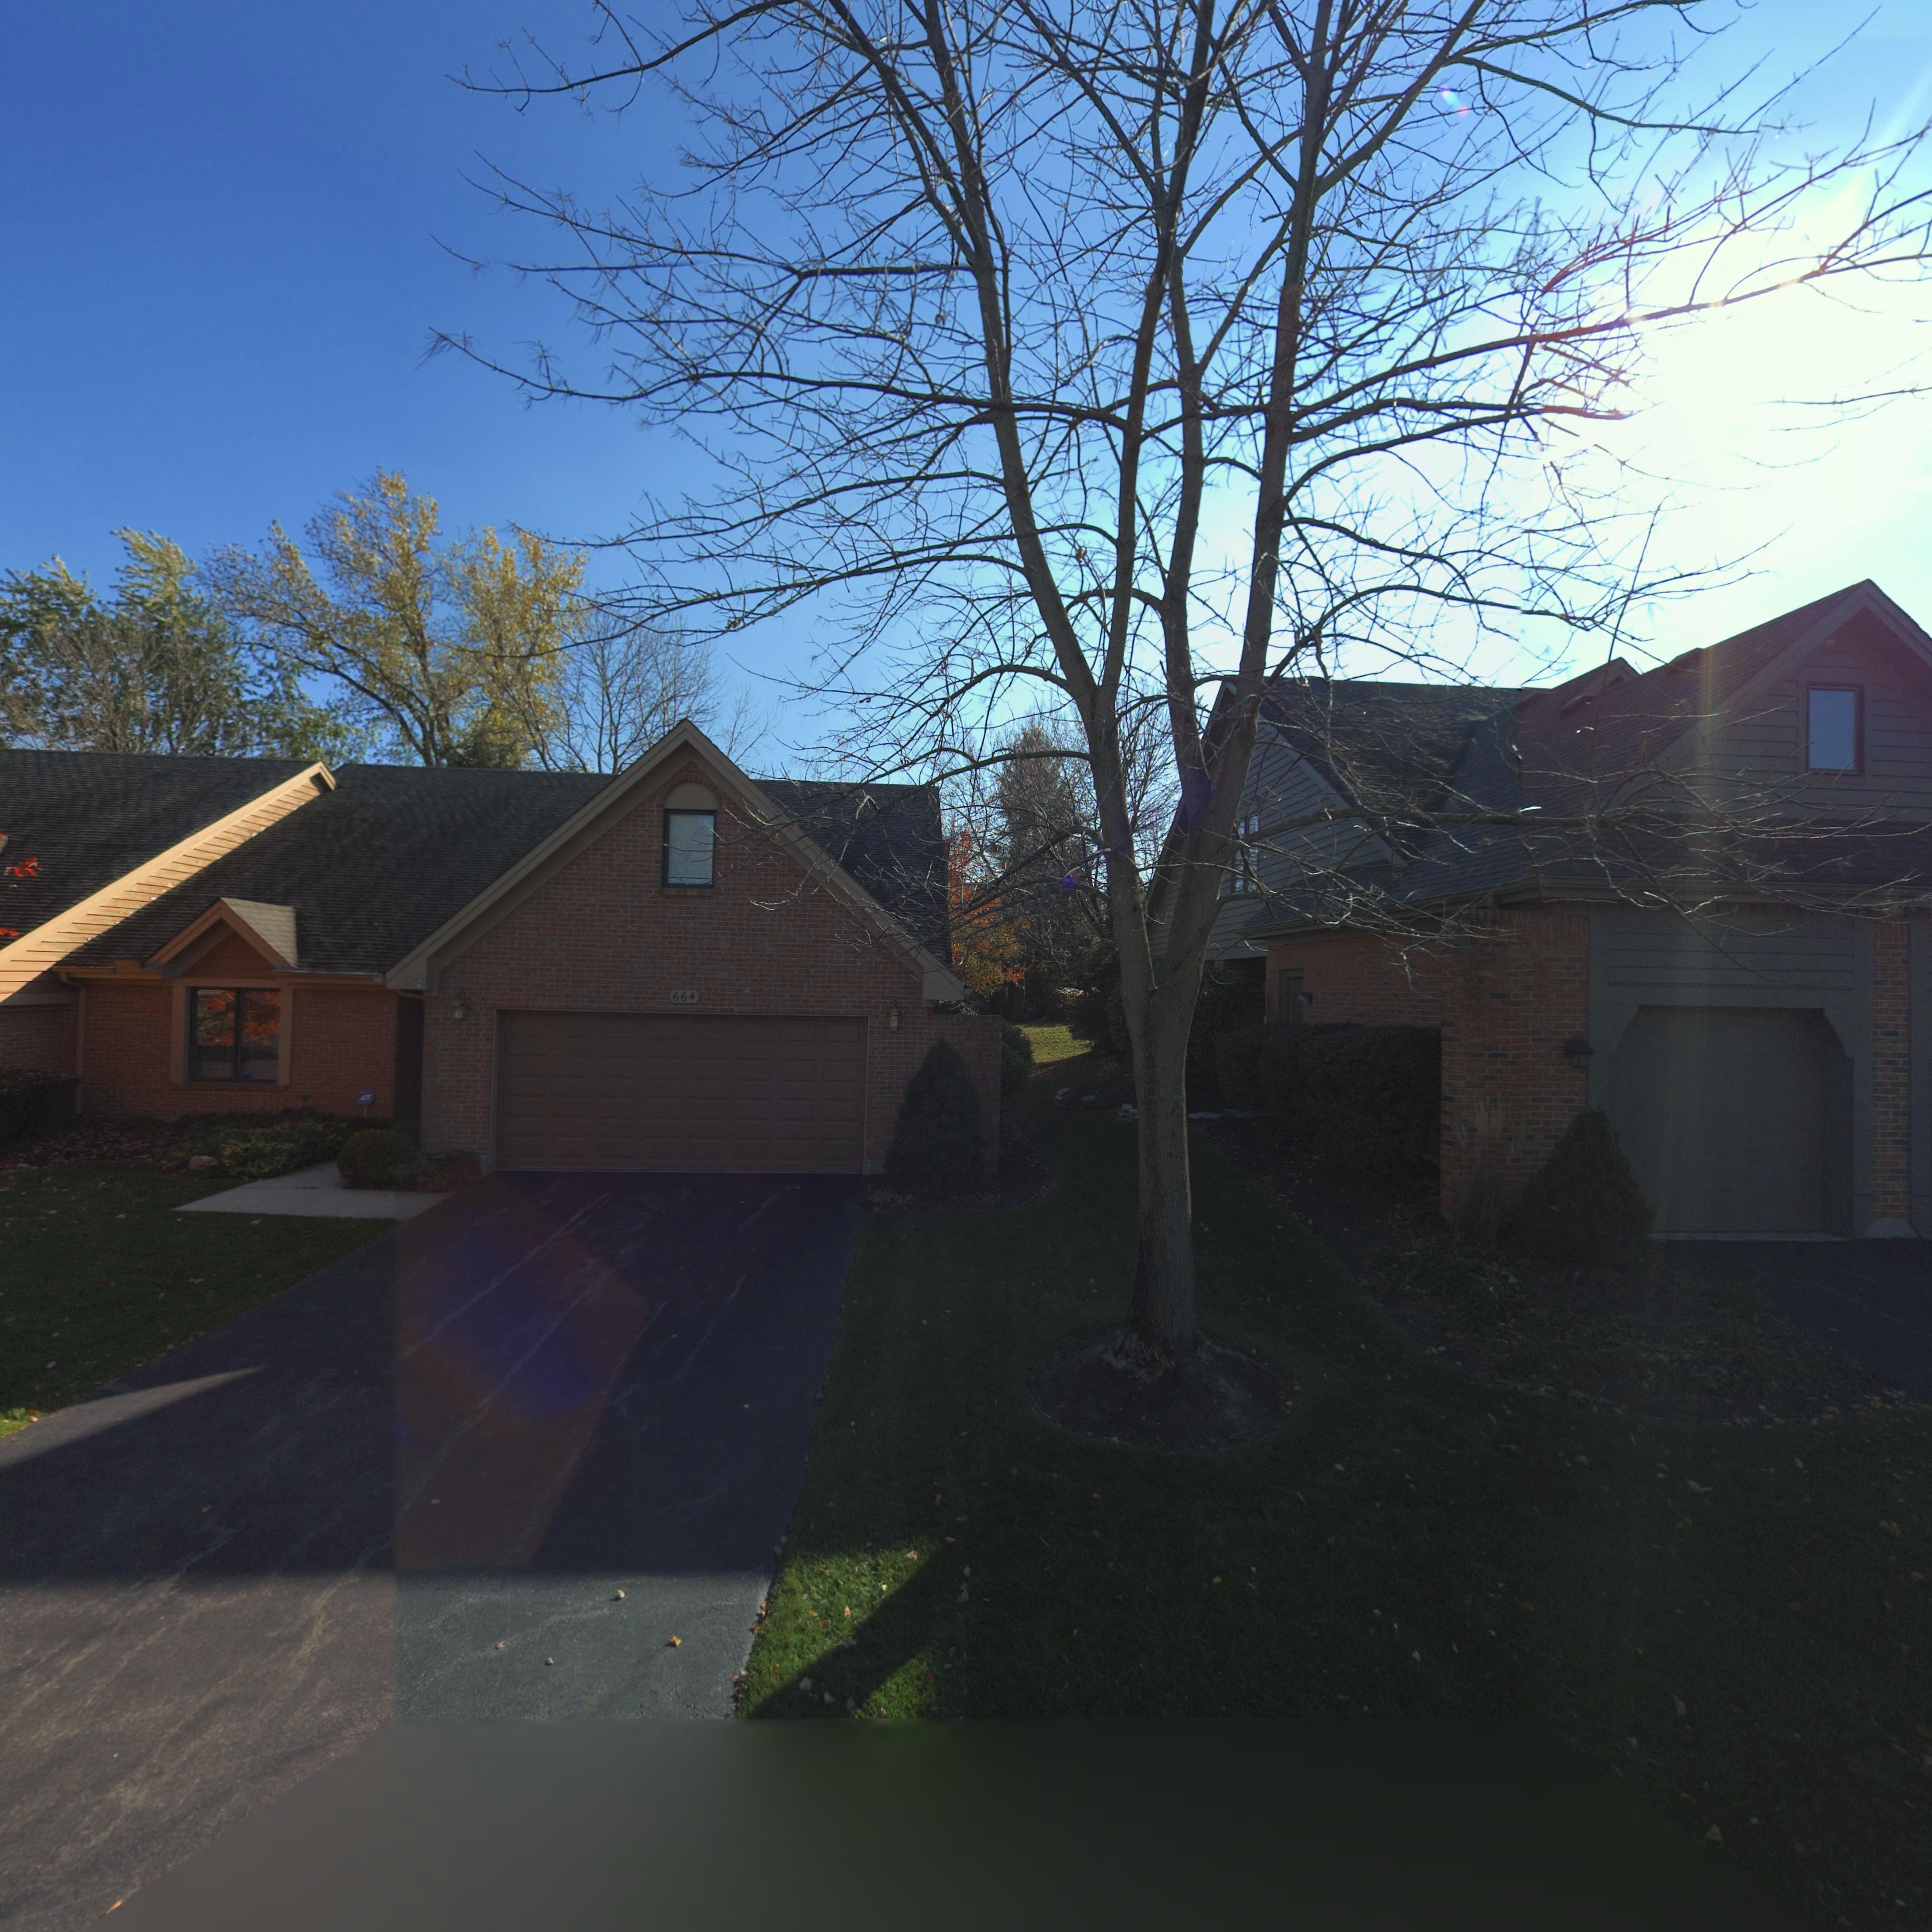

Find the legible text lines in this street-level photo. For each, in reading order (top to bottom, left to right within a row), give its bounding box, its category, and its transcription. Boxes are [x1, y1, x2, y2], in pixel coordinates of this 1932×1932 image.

[672, 990, 696, 1003] StreetNumber: 664